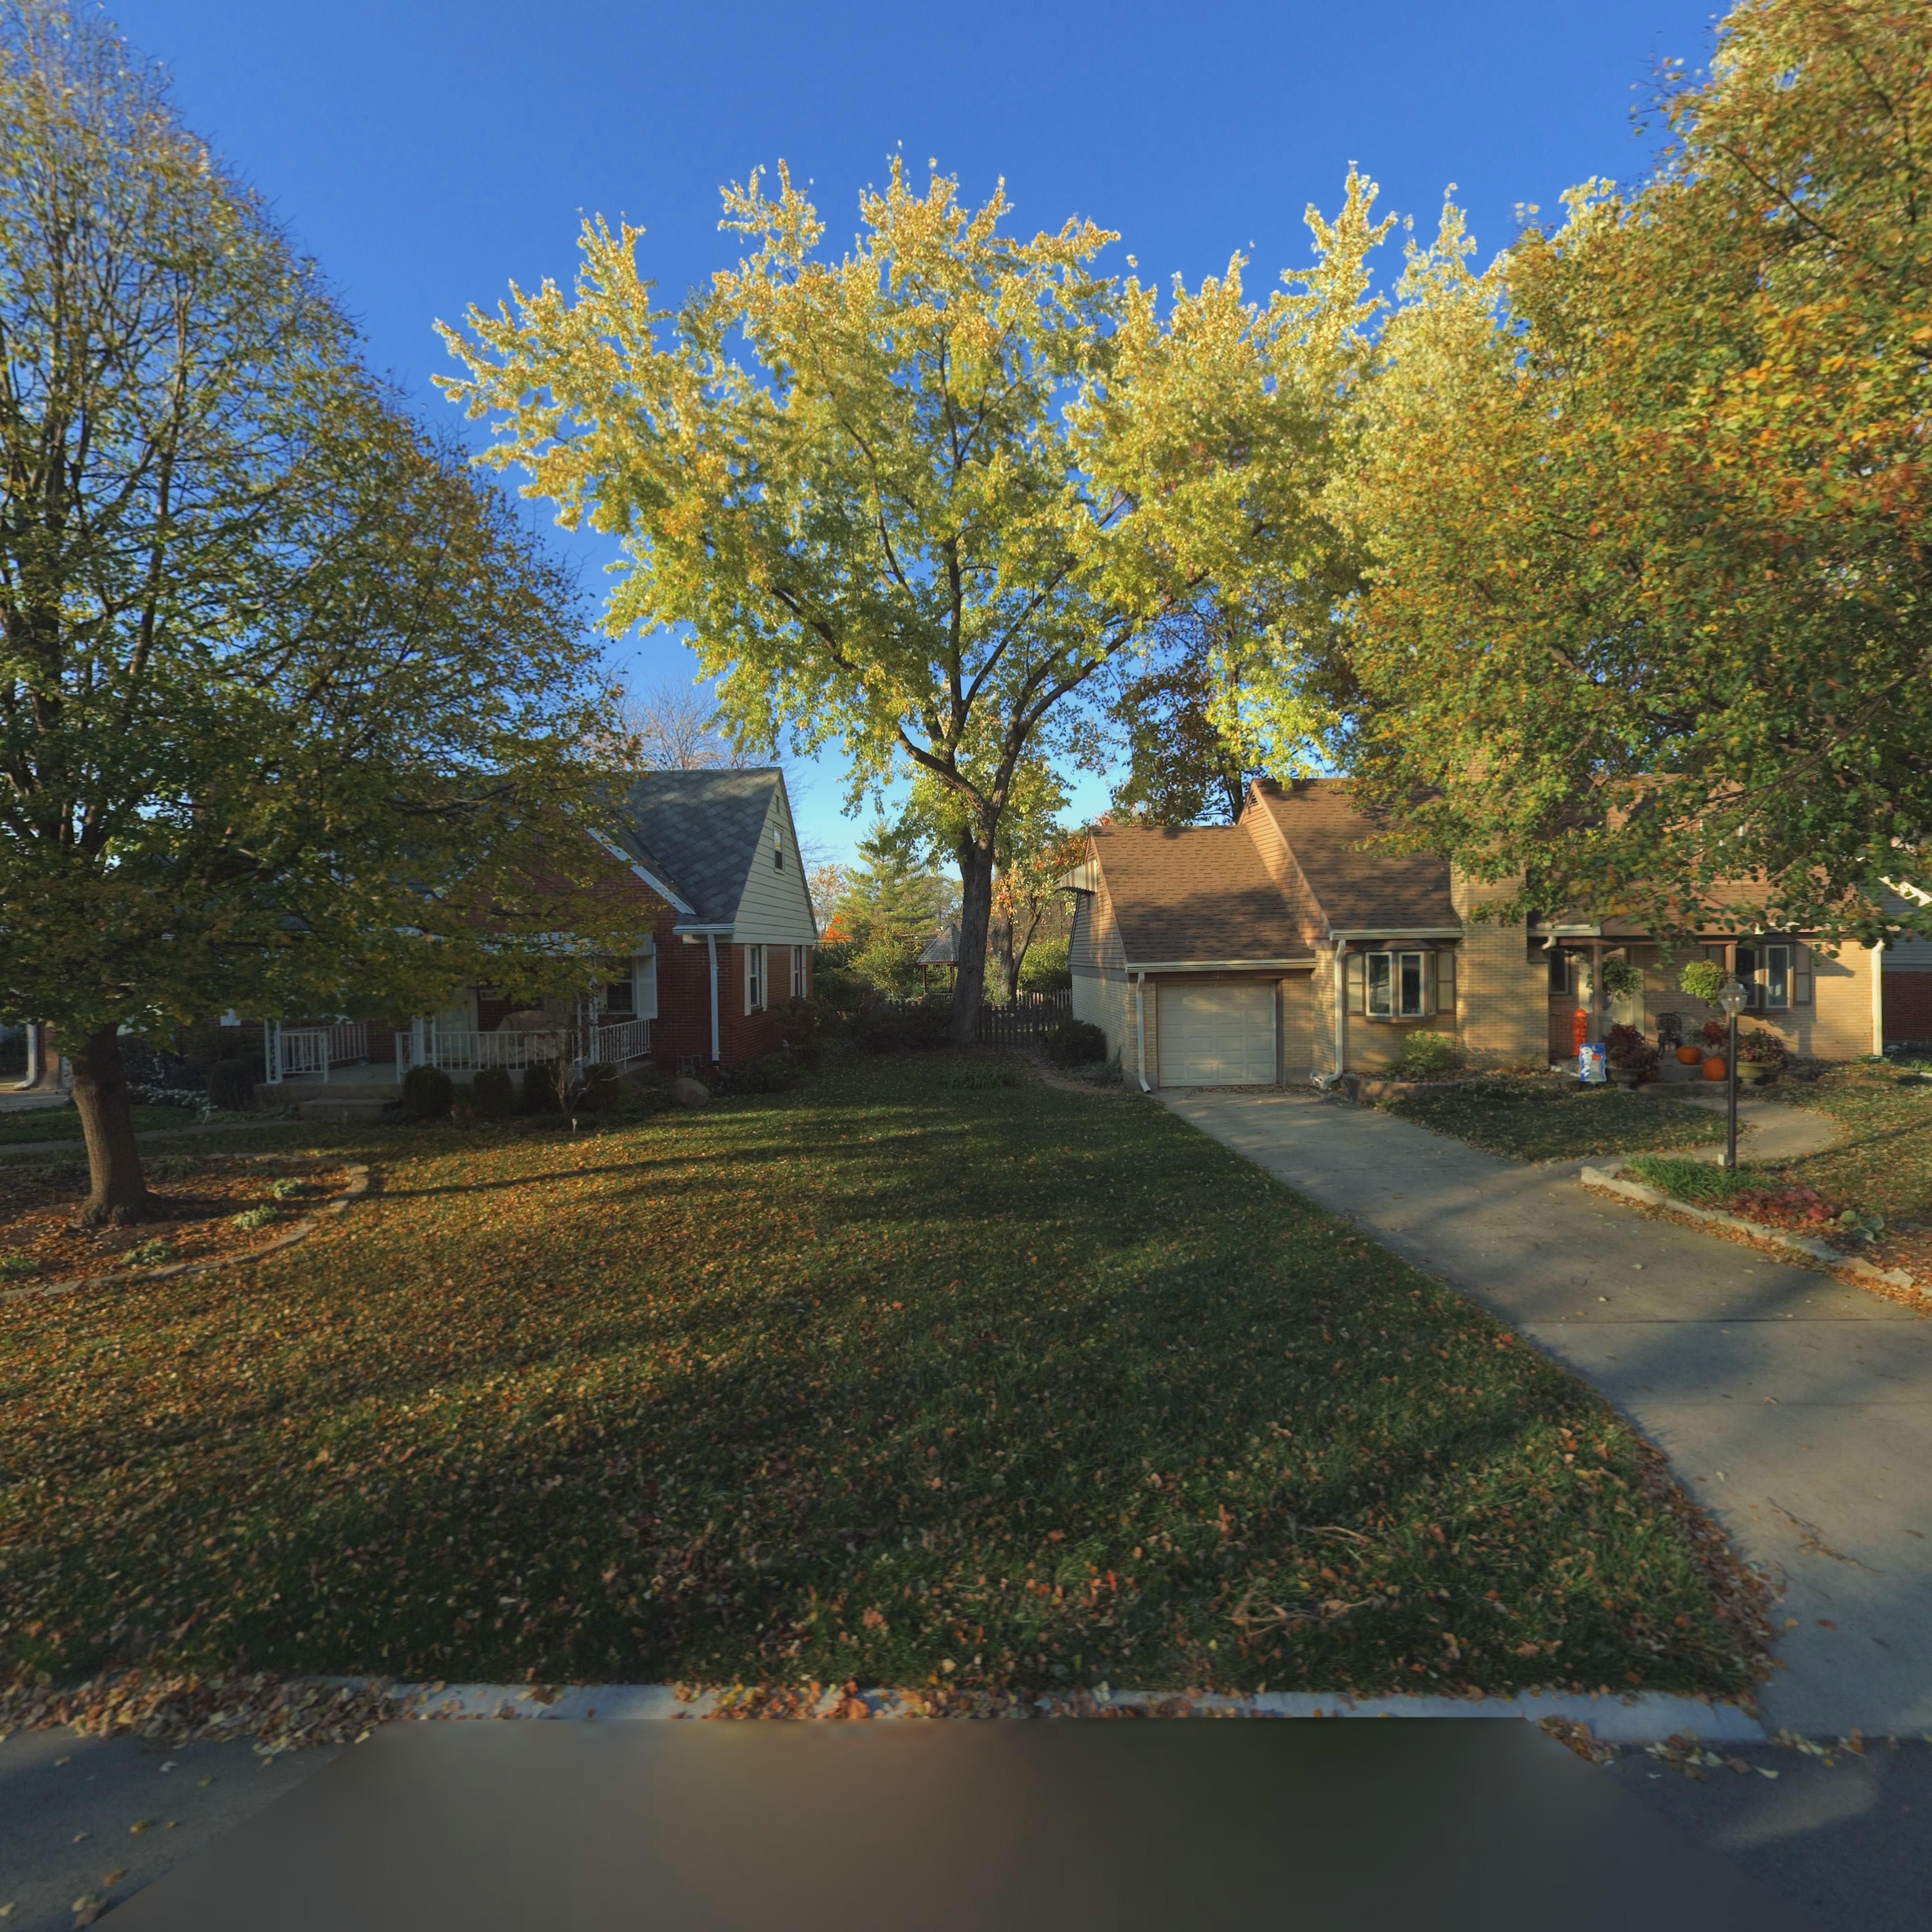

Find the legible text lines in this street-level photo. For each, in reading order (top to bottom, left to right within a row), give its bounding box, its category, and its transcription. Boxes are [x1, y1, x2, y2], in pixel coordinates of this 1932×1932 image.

[1212, 971, 1224, 979] StreetNumber: 121